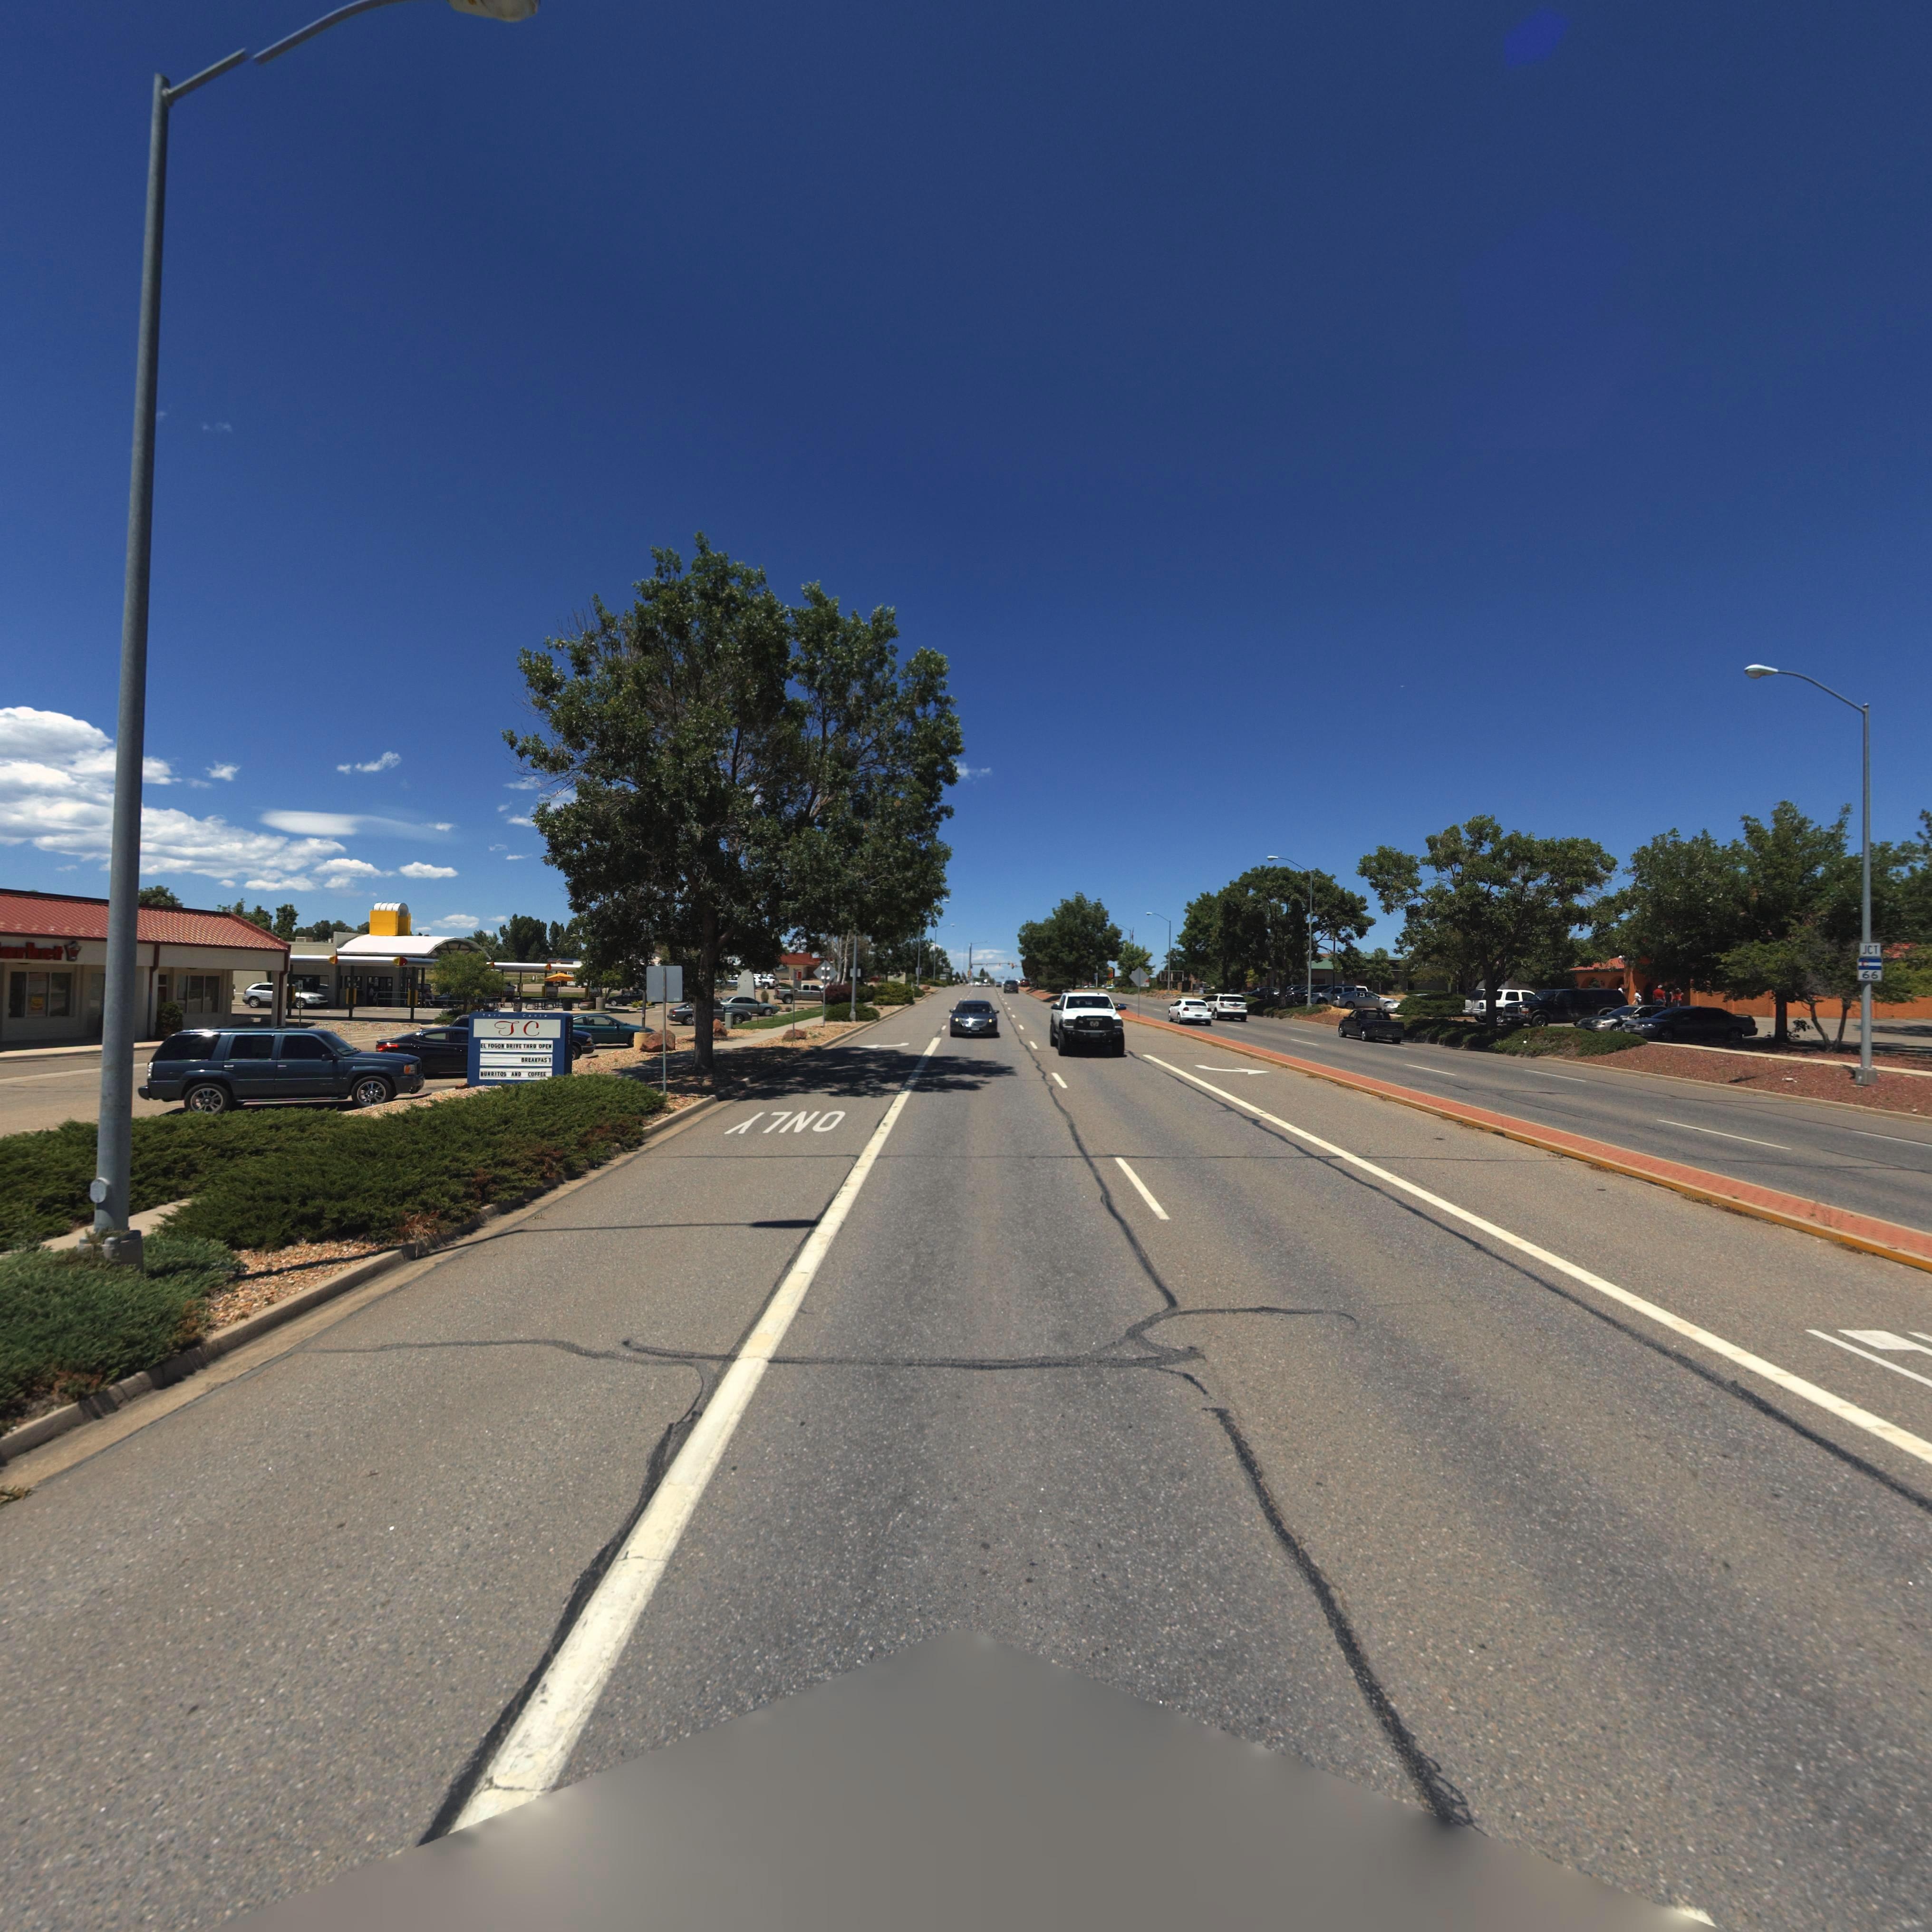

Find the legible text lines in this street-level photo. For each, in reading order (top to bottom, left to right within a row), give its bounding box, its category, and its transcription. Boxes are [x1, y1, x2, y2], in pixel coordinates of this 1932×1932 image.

[4, 941, 64, 960] BusinessName: ****t